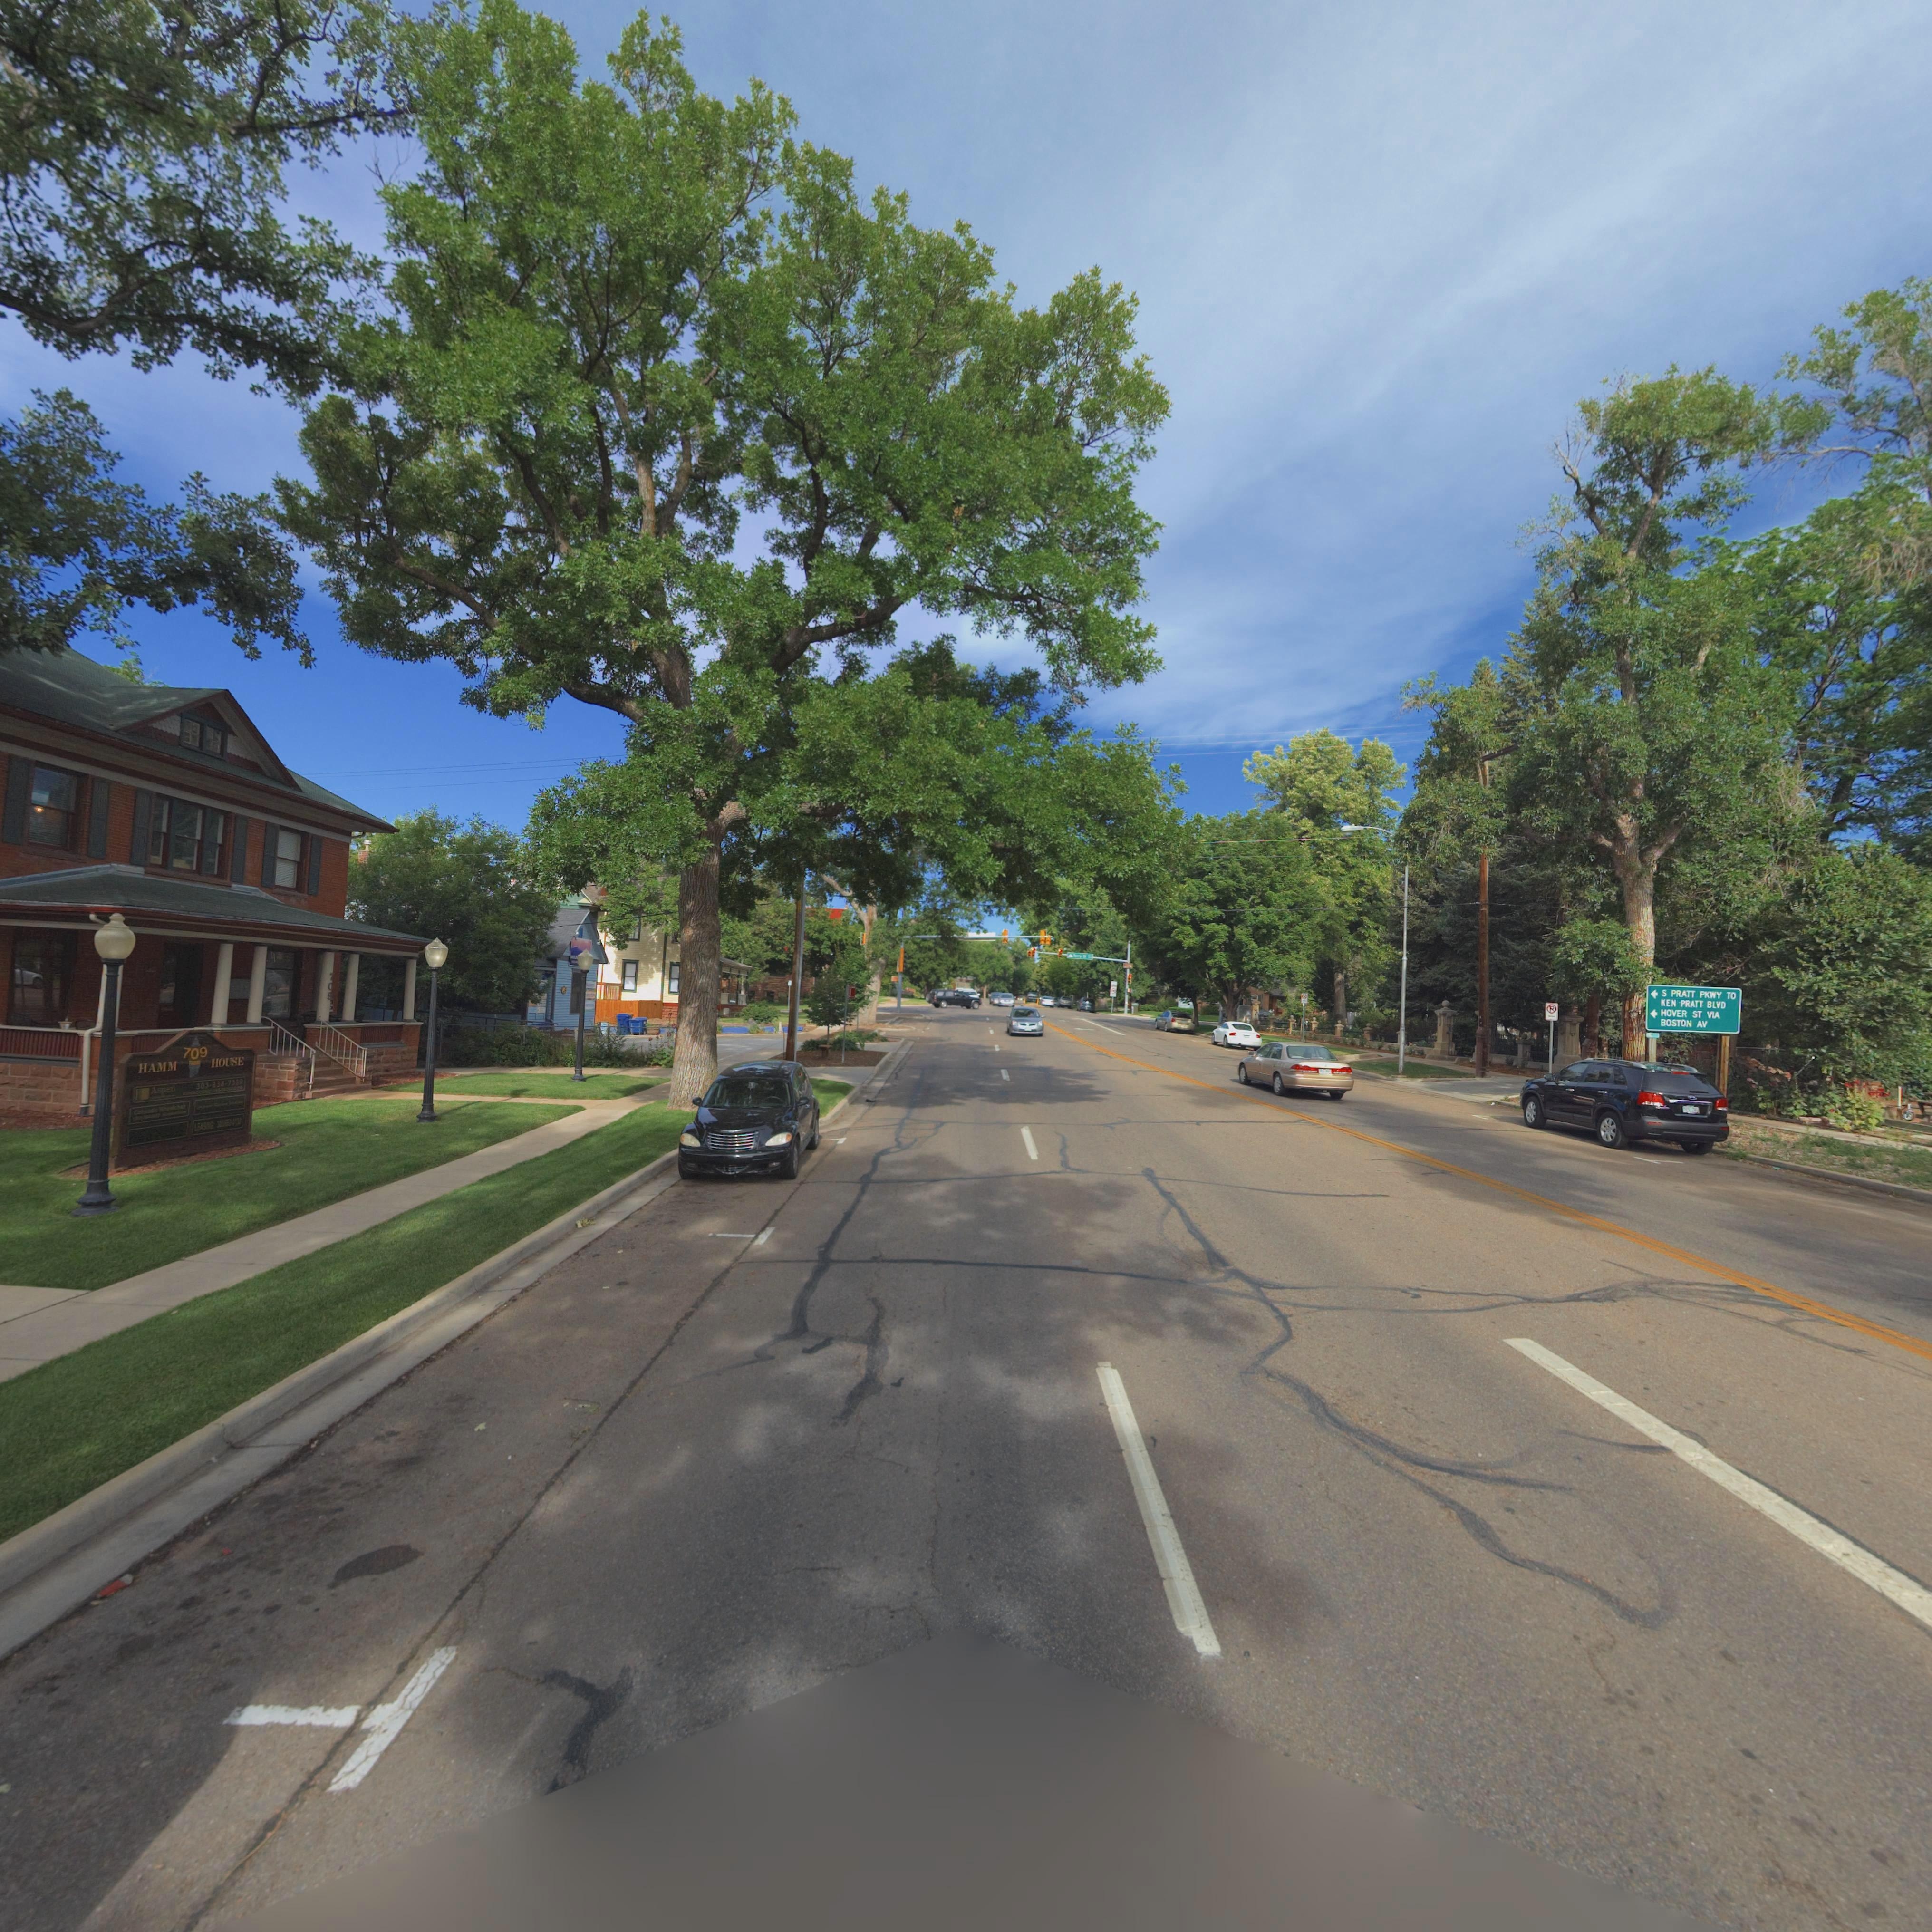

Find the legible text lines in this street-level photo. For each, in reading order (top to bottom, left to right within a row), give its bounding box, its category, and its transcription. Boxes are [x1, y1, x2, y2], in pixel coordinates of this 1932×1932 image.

[1072, 953, 1088, 958] StreetName: Terry St 
[326, 971, 335, 1002] StreetNumber: 709
[1661, 989, 1736, 999] StreetName: S Pratt Pkwy To
[1660, 998, 1726, 1009] StreetName: KEN PRATT BLVD
[1660, 1008, 1721, 1019] StreetName: Hover ST Via
[1659, 1018, 1709, 1028] StreetName: BOSTON AV
[137, 1060, 177, 1073] BusinessName: Hamm
[210, 1055, 244, 1068] BusinessName: House
[150, 1085, 176, 1095] BusinessName: Aspen
[133, 1102, 186, 1116] BusinessName: Colorado Wheelc****